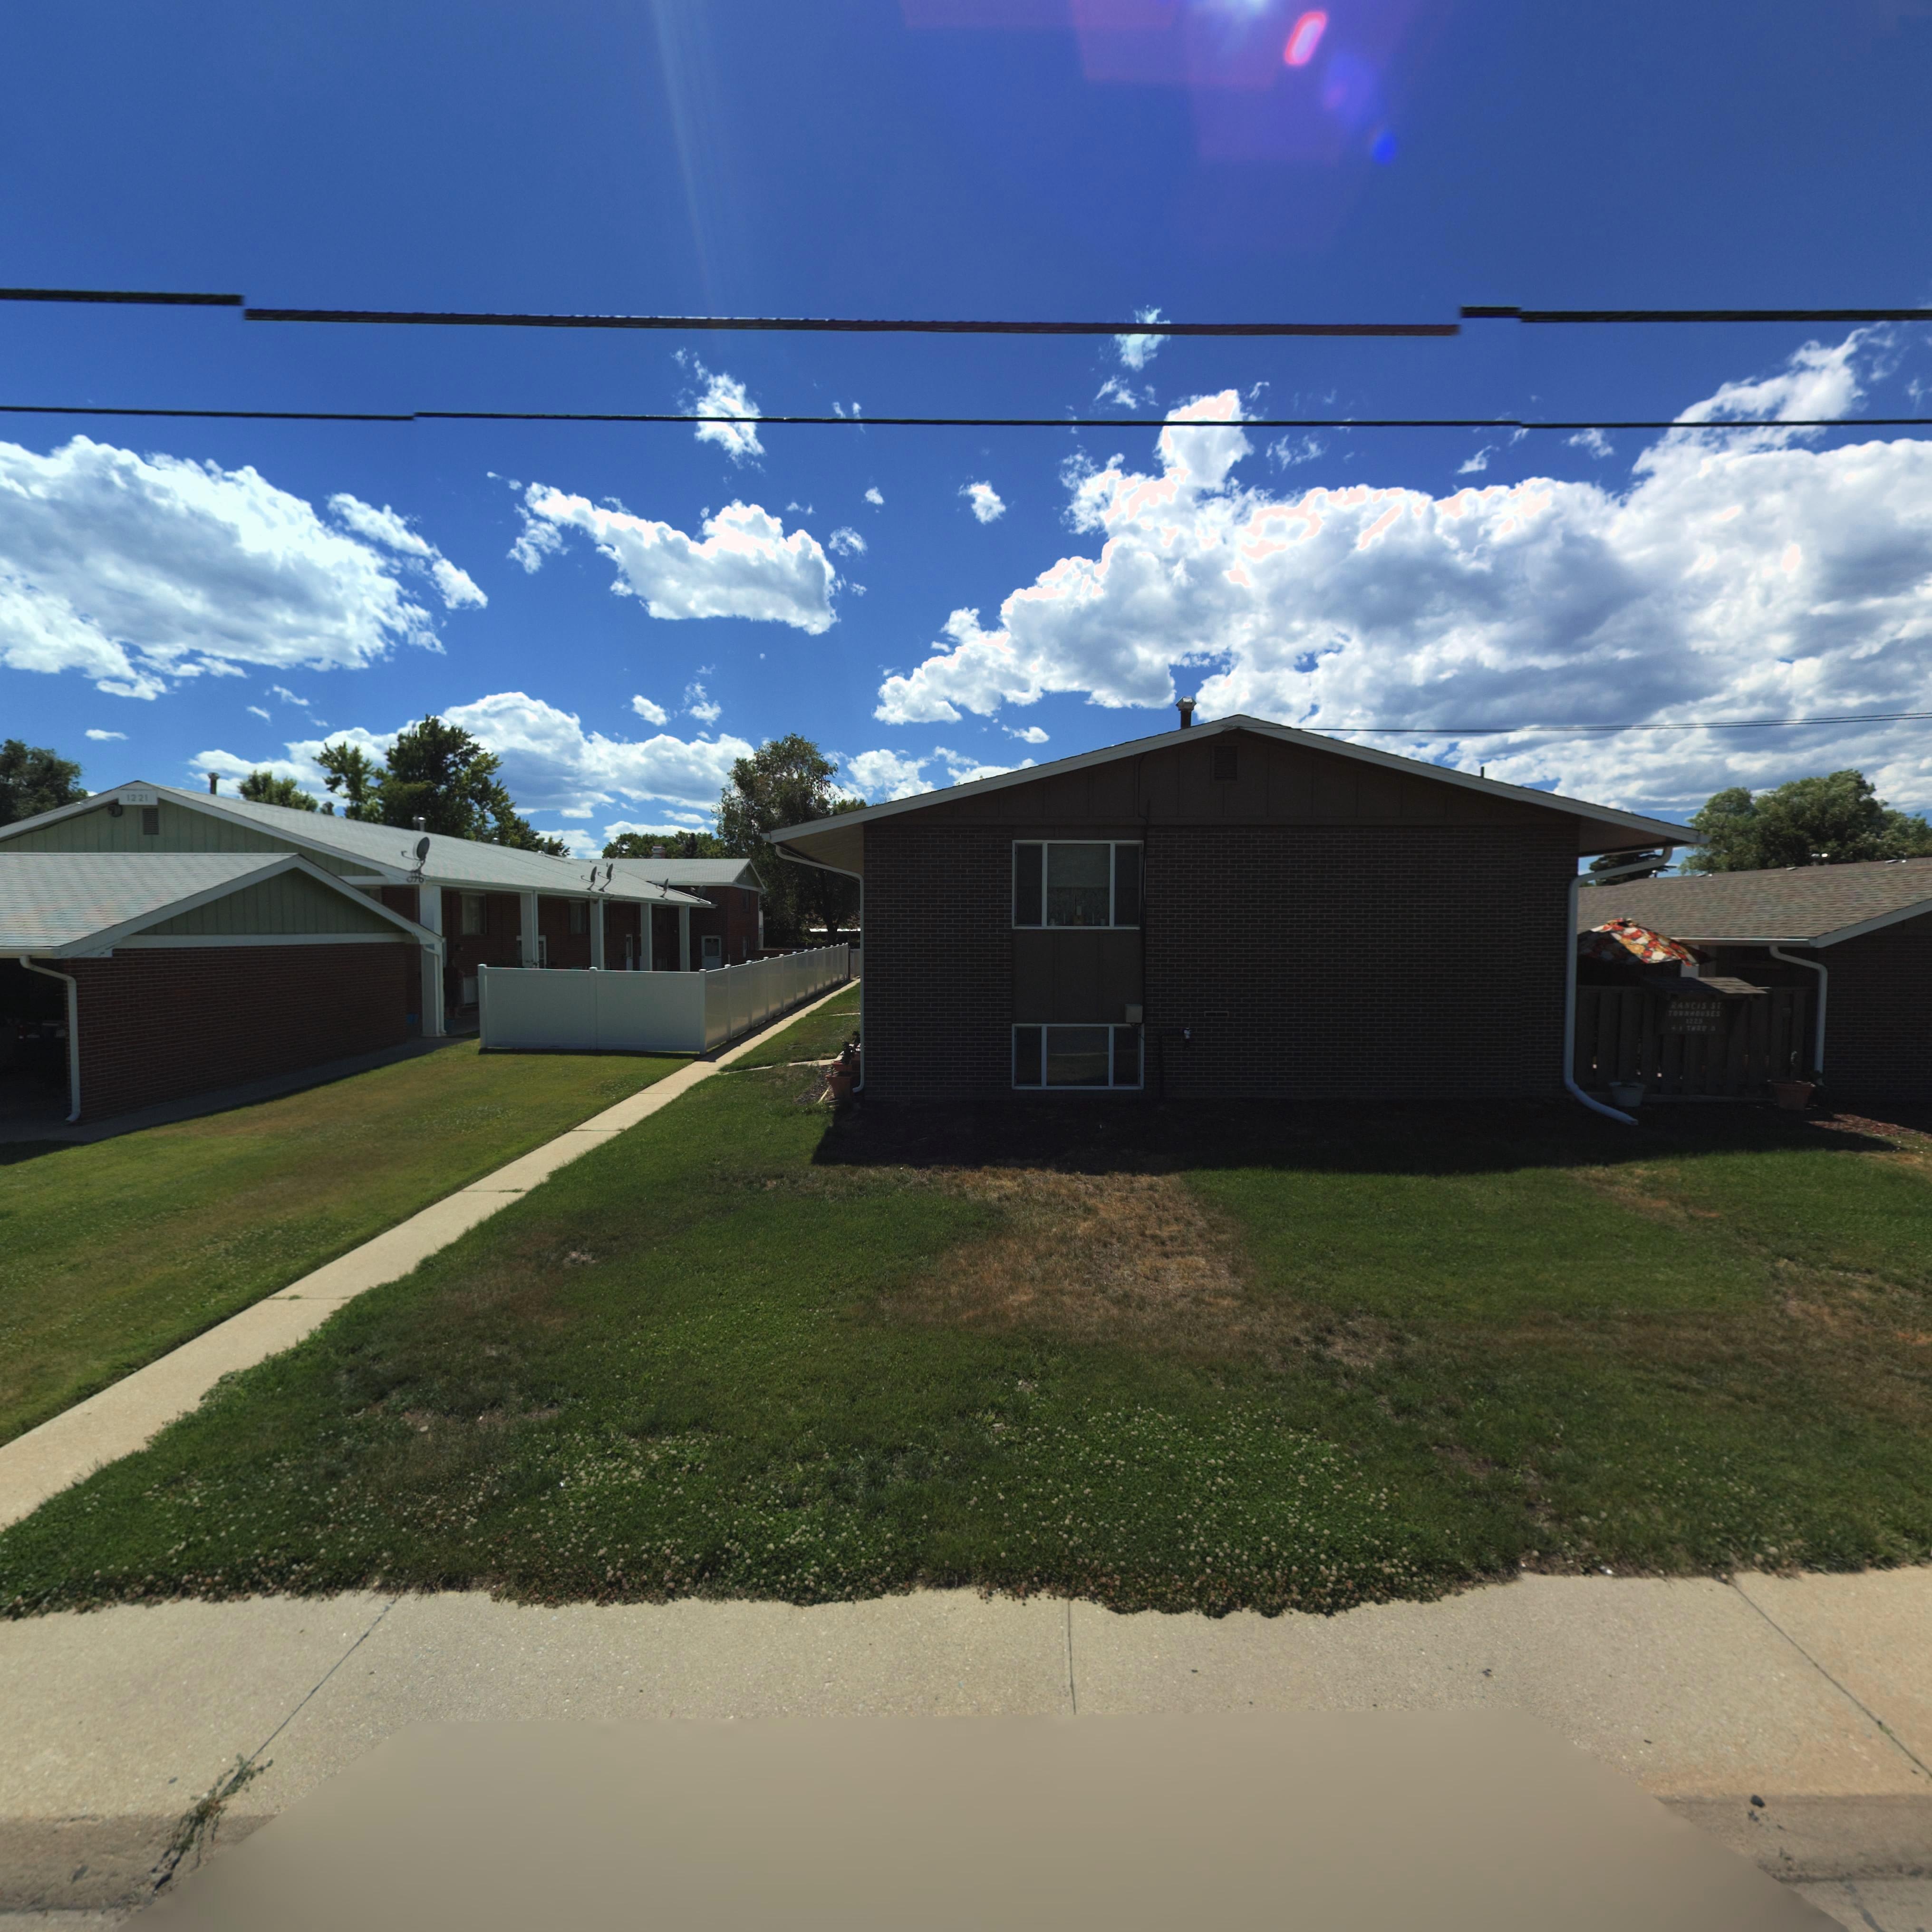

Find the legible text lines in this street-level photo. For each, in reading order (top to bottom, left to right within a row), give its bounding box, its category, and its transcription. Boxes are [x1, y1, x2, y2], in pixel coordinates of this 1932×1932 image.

[126, 793, 148, 802] StreetNumber: 1221
[1670, 1000, 1722, 1009] BusinessName: RANCIS
[1668, 1010, 1721, 1016] BusinessName: TOWNHOUSES
[1685, 1017, 1703, 1024] StreetNumber: 1223